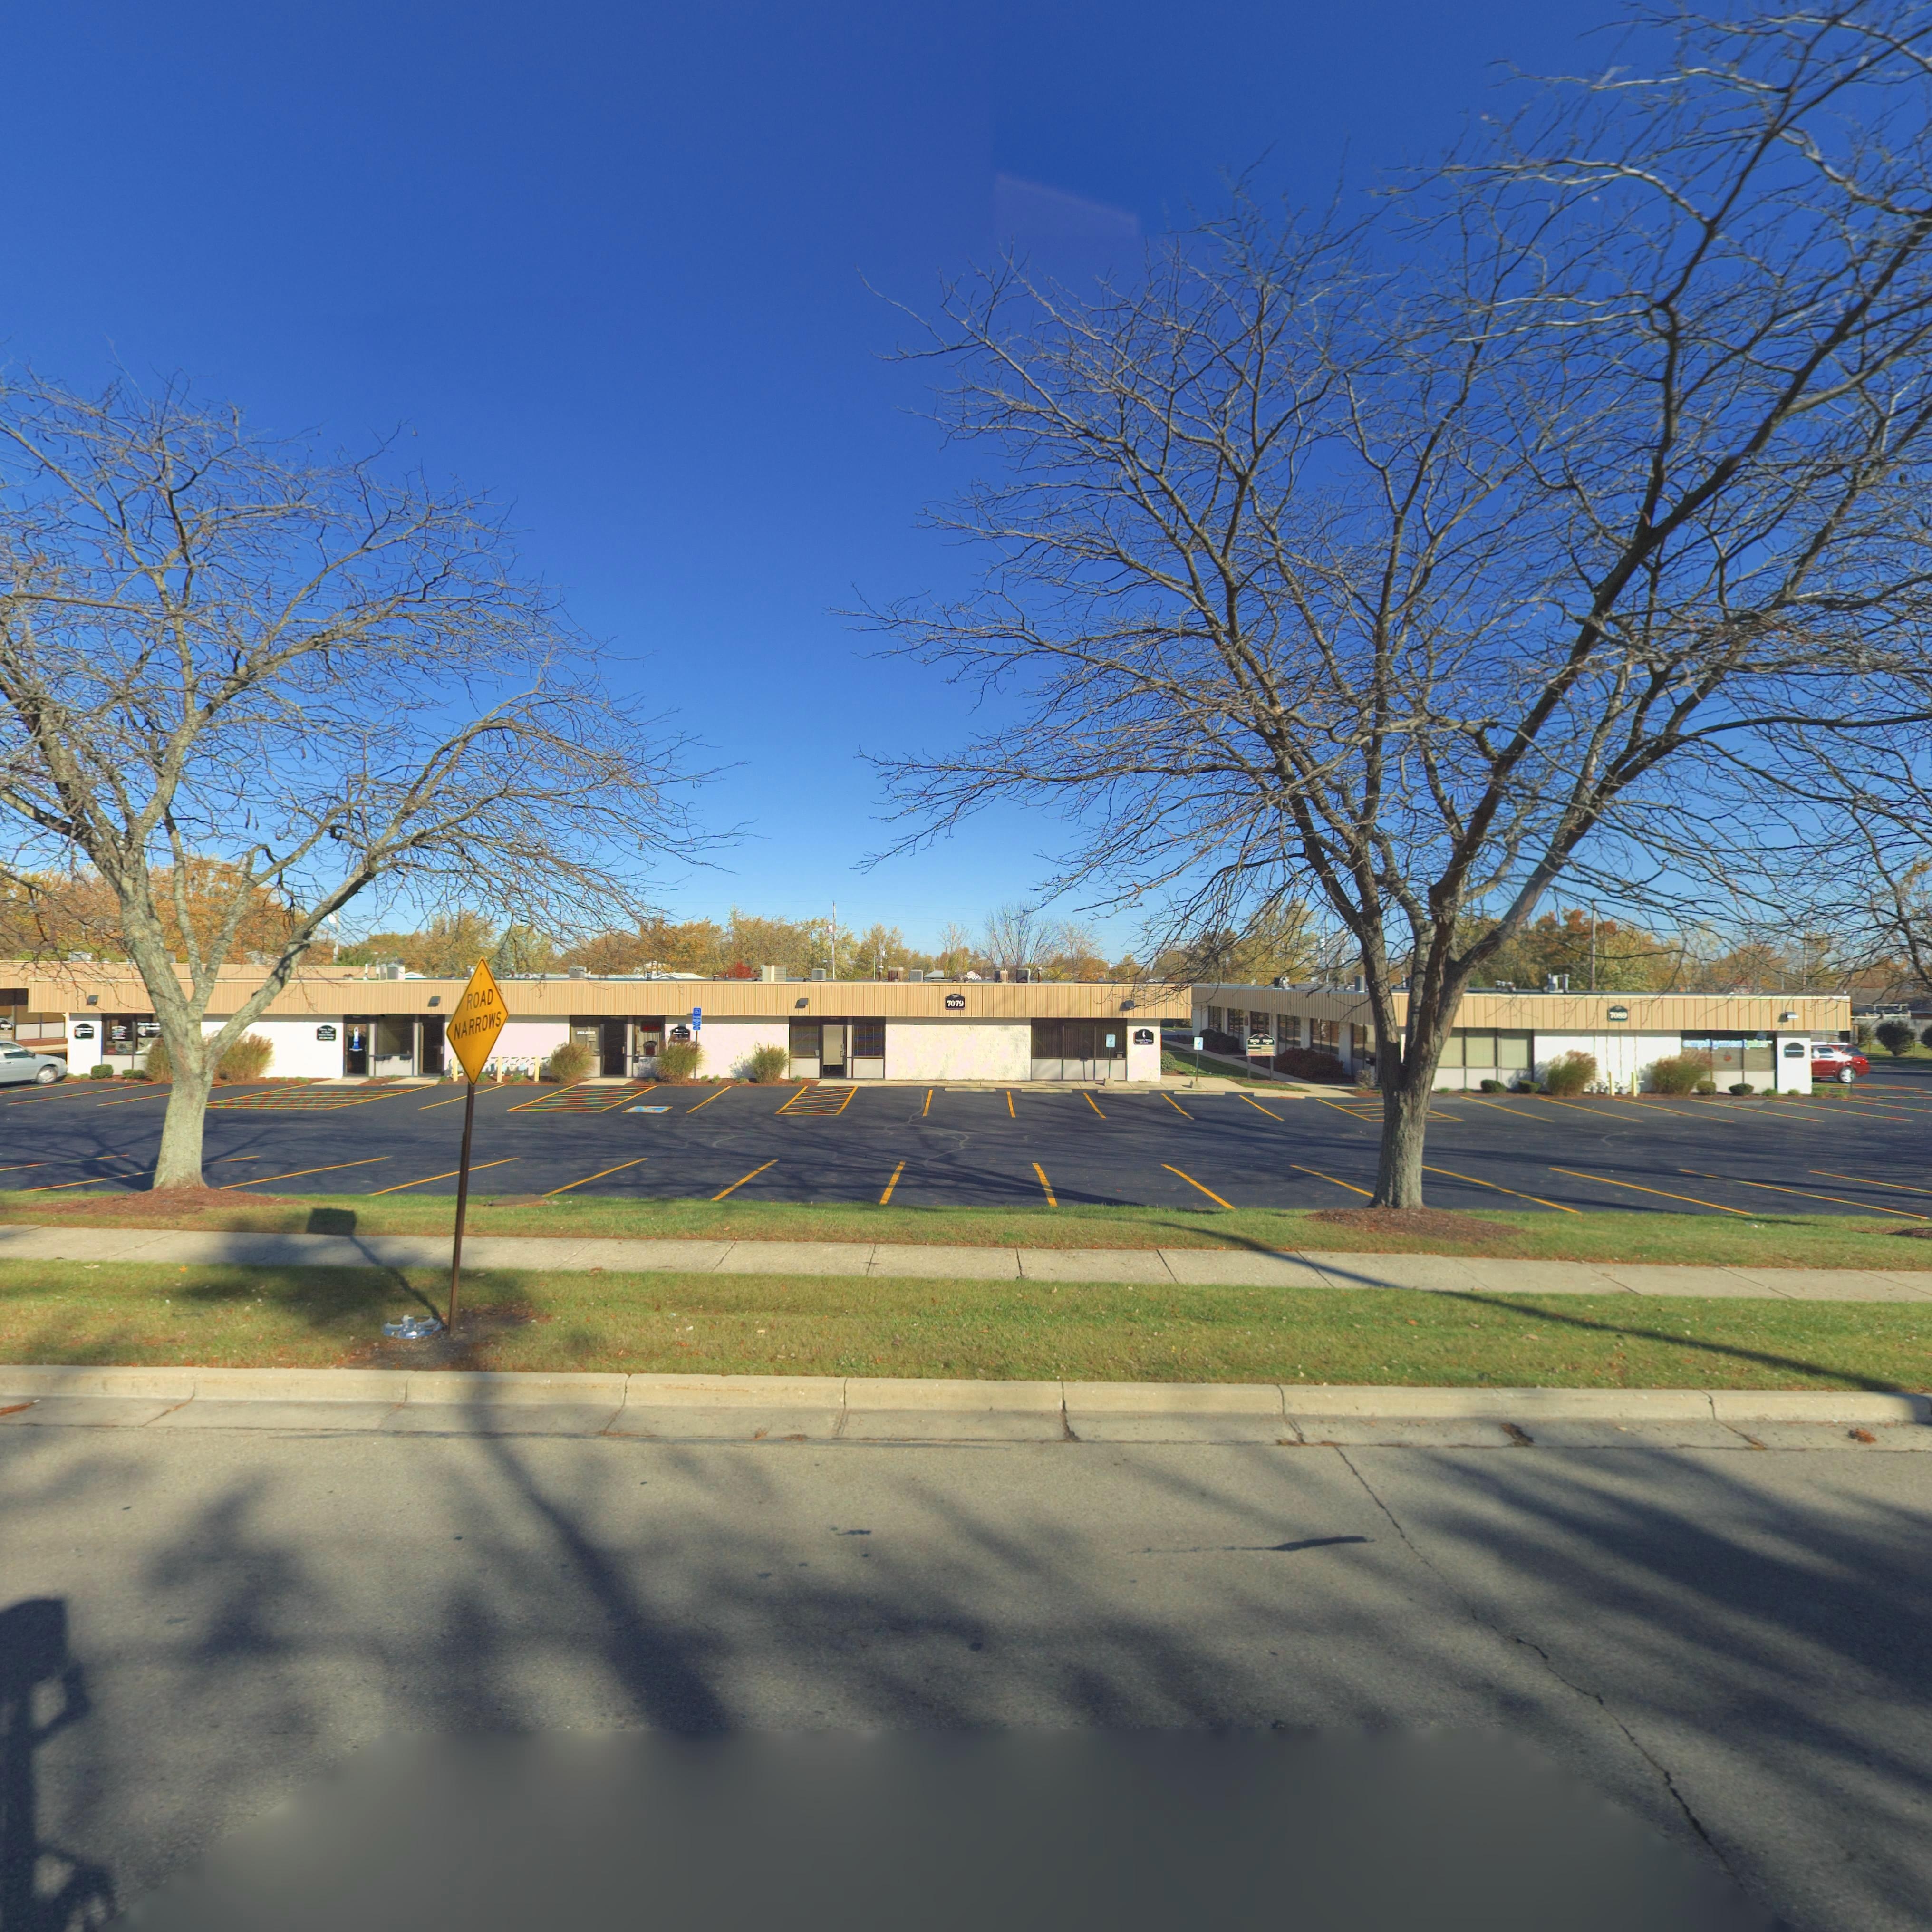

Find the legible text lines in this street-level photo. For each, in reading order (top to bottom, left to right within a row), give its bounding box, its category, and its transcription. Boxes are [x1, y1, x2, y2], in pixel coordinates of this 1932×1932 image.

[946, 999, 965, 1008] StreetNumber: 7079
[1608, 1011, 1628, 1020] StreetNumber: 70**
[1681, 1038, 1769, 1051] BusinessName: empl*ymen*plus